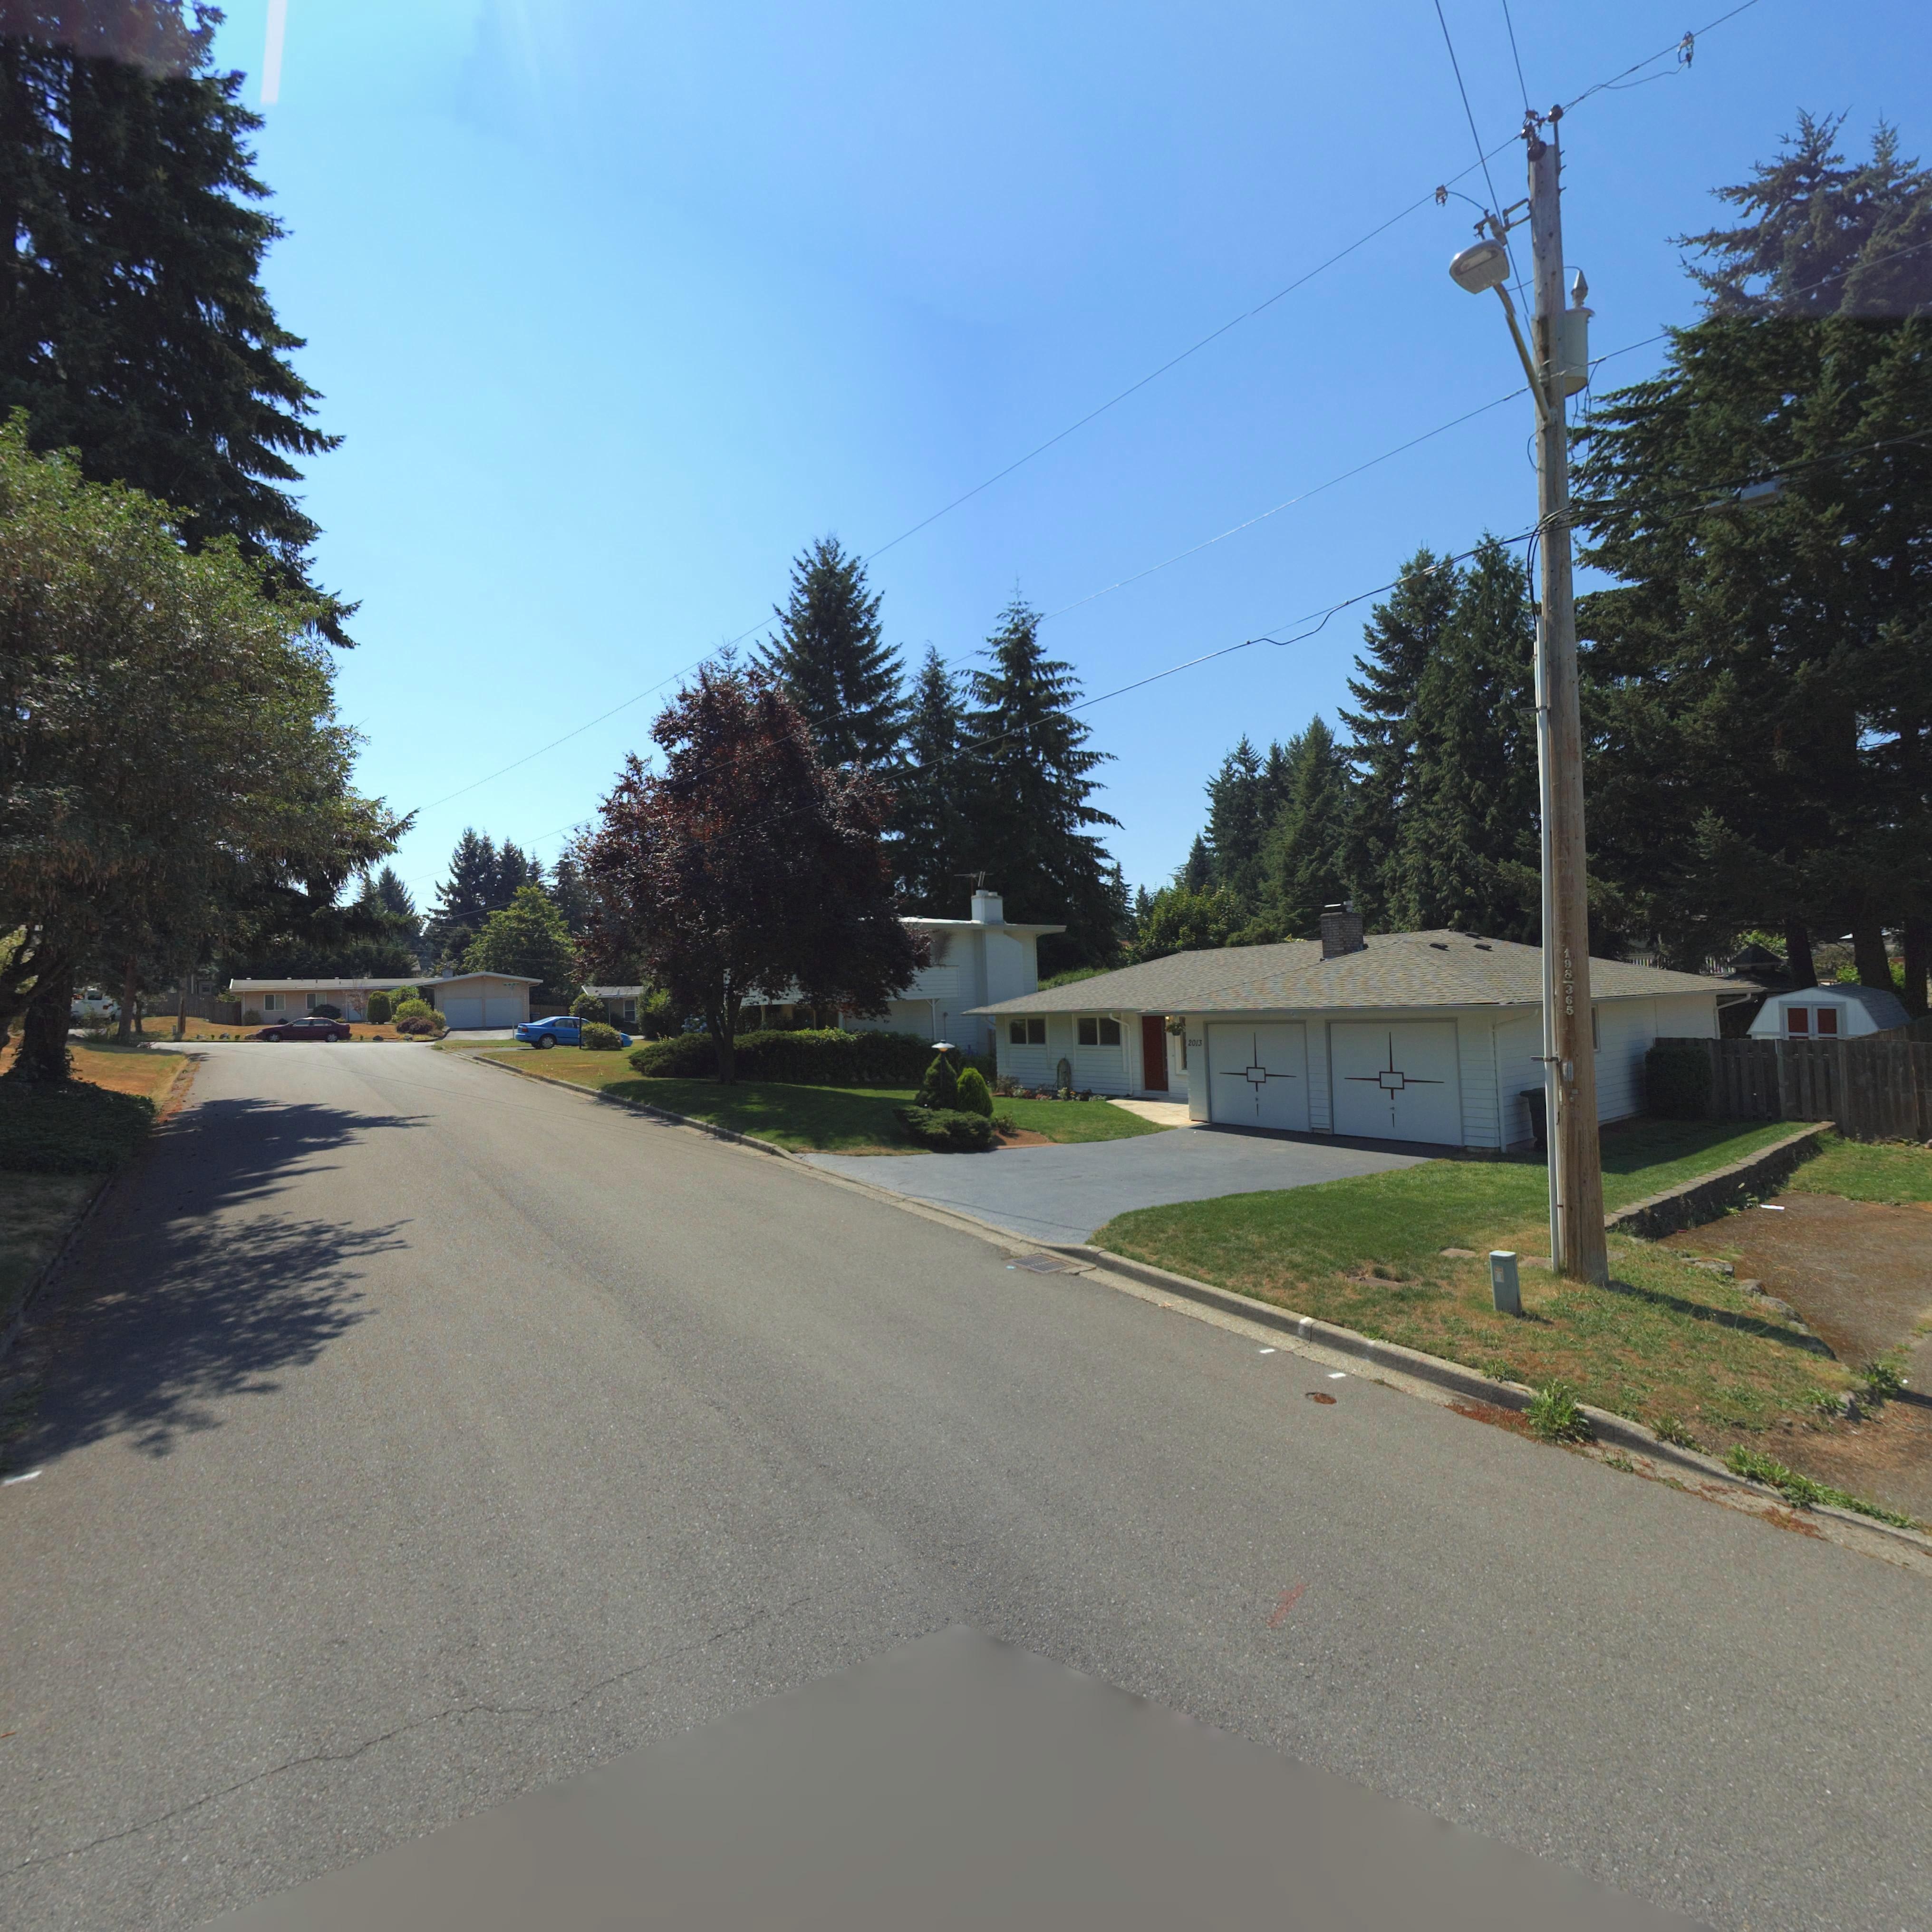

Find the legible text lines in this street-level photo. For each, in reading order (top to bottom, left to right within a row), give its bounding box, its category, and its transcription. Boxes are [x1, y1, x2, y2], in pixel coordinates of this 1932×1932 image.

[1187, 1039, 1202, 1046] StreetNumber: 2013